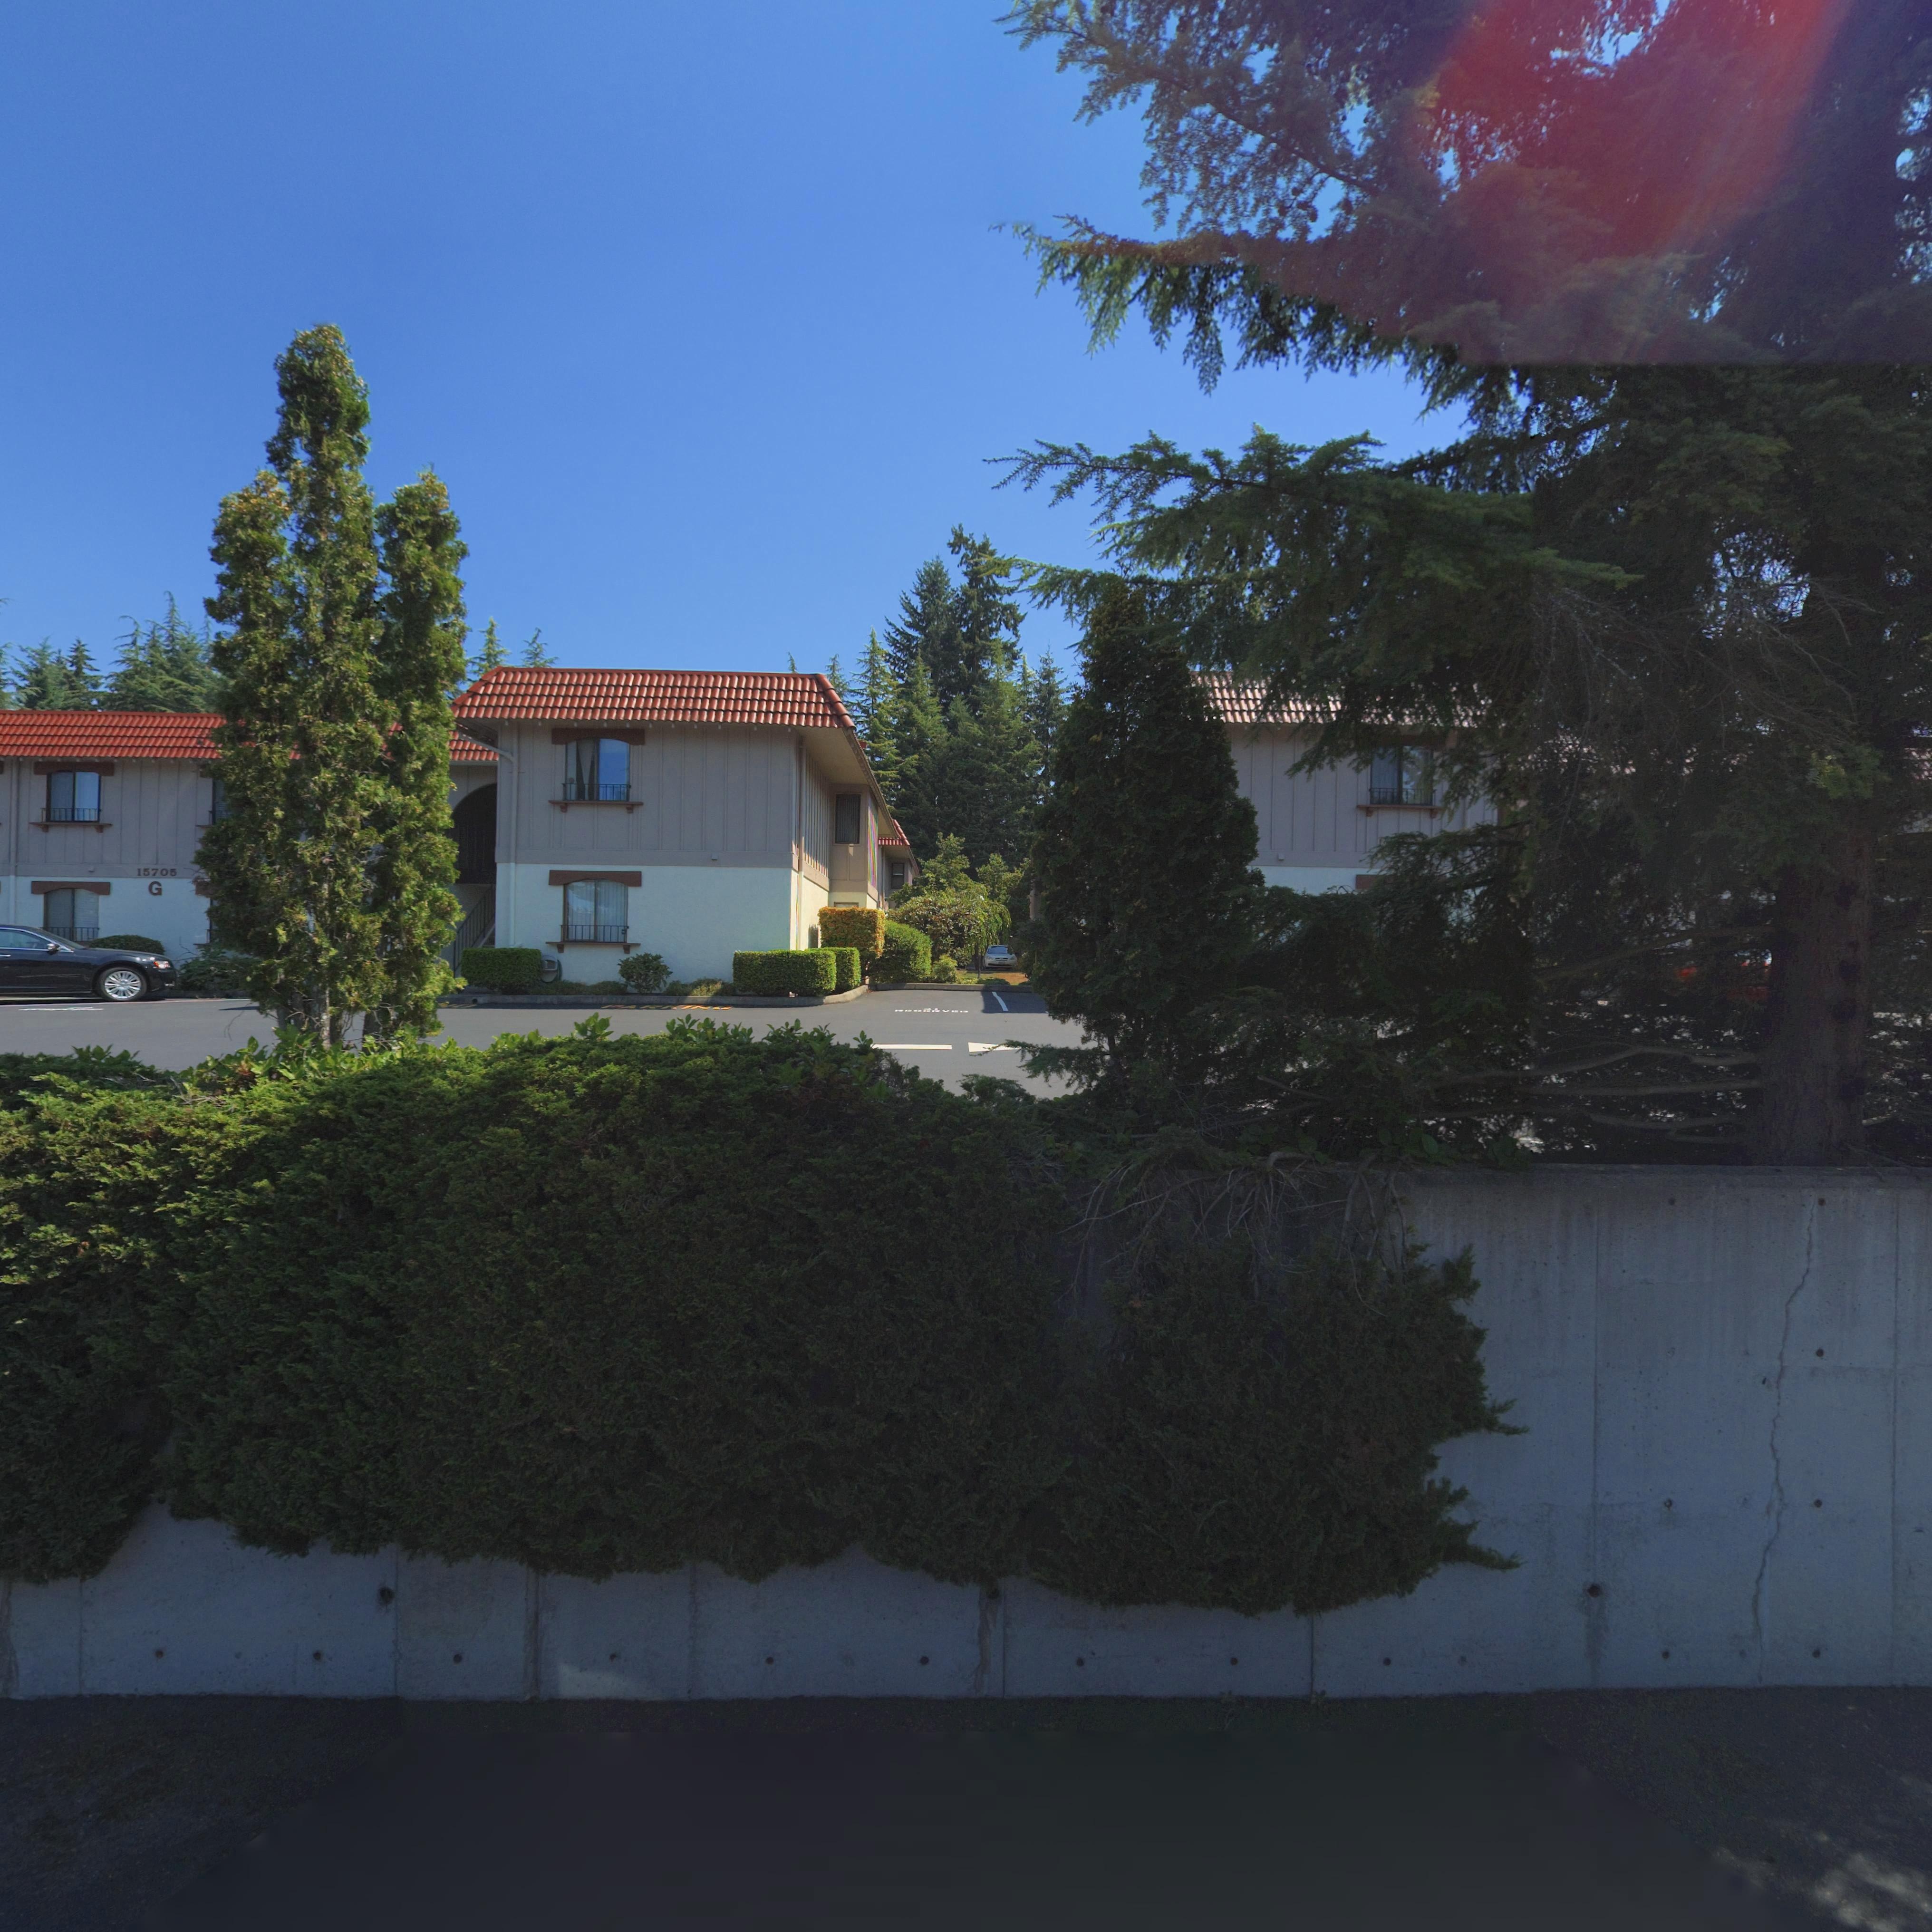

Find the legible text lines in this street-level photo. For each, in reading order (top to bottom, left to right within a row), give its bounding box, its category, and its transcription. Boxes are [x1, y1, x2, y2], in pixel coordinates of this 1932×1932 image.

[137, 869, 177, 876] StreetNumber: 15705
[148, 881, 162, 895] None: G